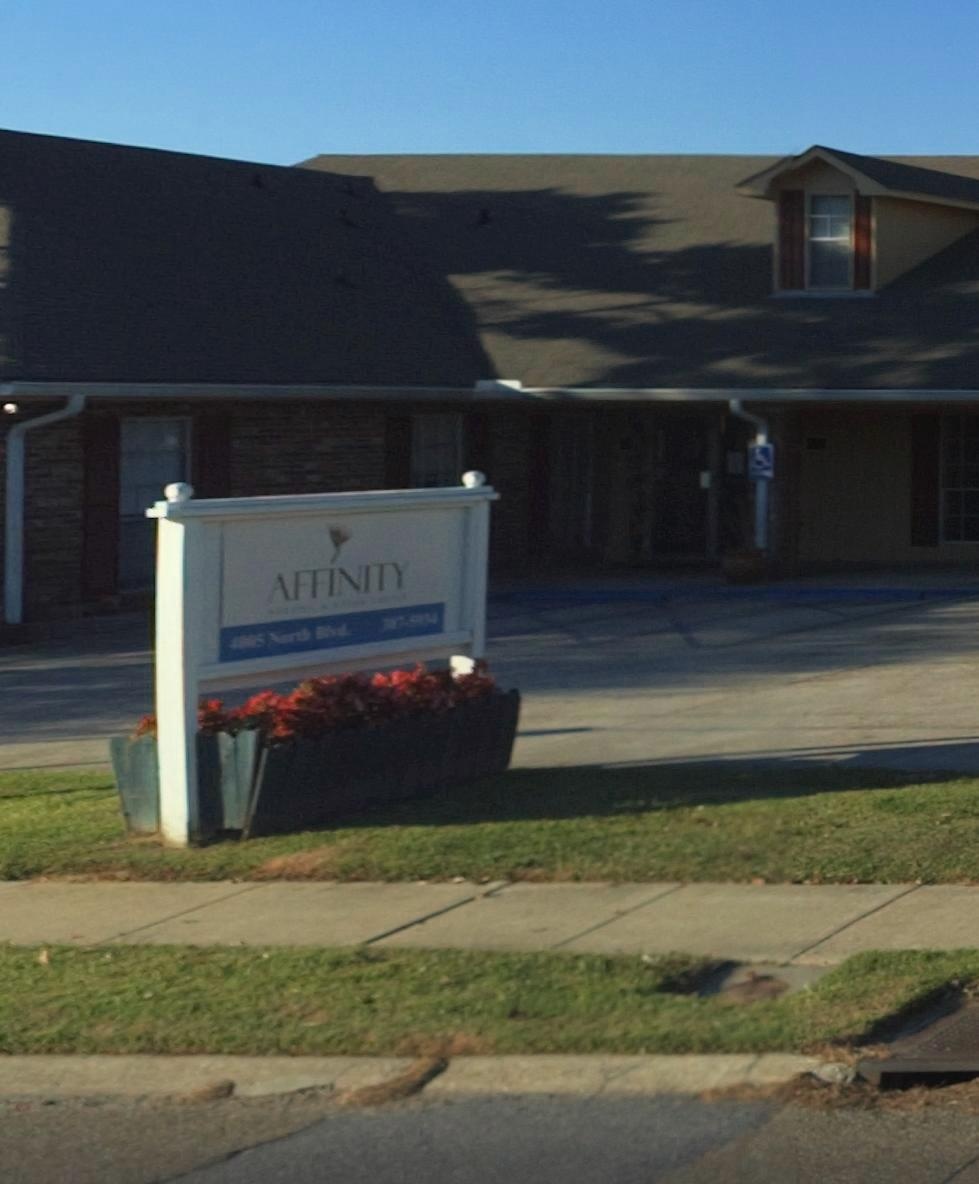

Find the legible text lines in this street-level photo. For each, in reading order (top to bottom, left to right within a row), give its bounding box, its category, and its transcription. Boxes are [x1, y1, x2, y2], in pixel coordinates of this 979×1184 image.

[265, 556, 414, 609] BusinessName: AFFINITY
[225, 631, 268, 655] StreetNumber: 4**5
[265, 619, 351, 649] StreetName: North Blvd.